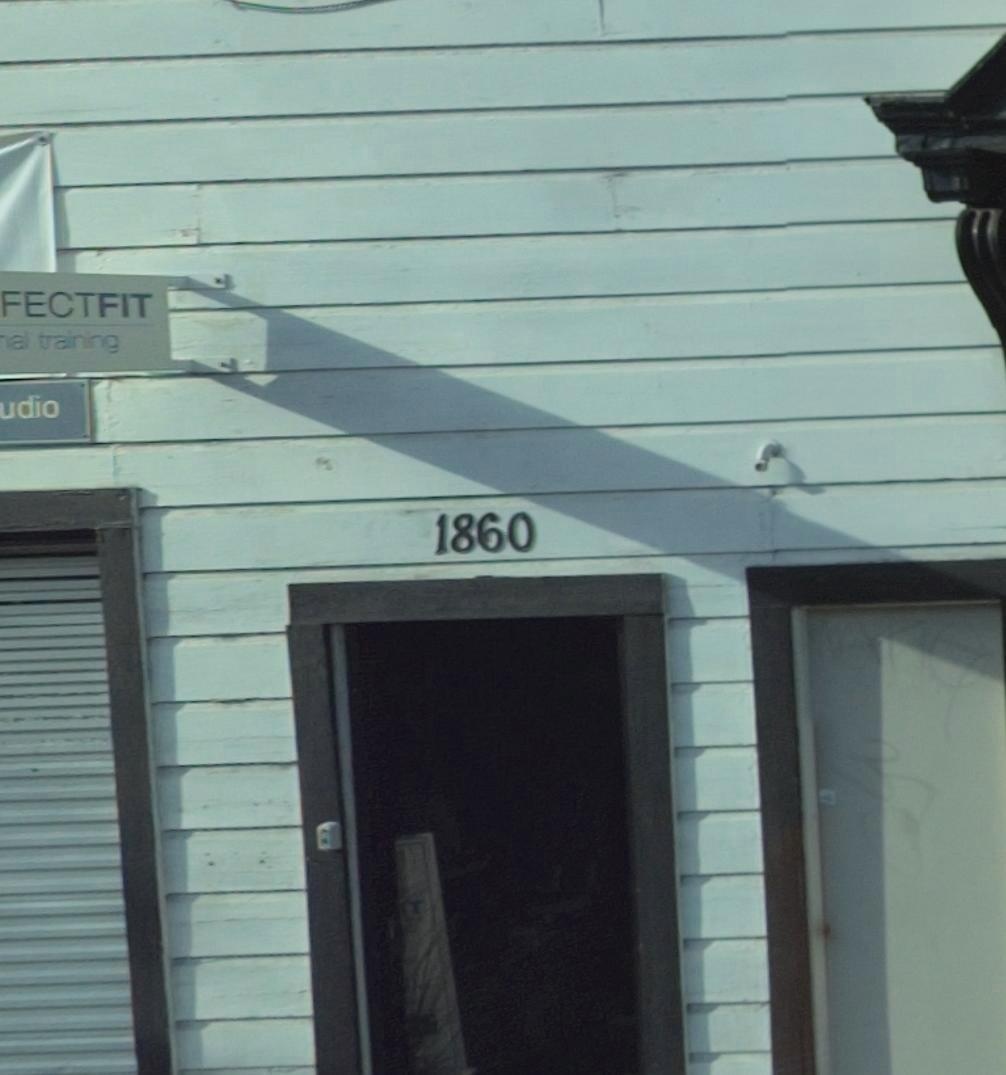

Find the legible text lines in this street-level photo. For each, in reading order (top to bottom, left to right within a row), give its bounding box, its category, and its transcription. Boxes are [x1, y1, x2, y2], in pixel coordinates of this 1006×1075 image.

[0, 287, 155, 321] BusinessName: FECTFIT
[7, 326, 123, 358] None: al training
[12, 392, 62, 422] None: dio
[431, 507, 539, 559] StreetNumber: 1860